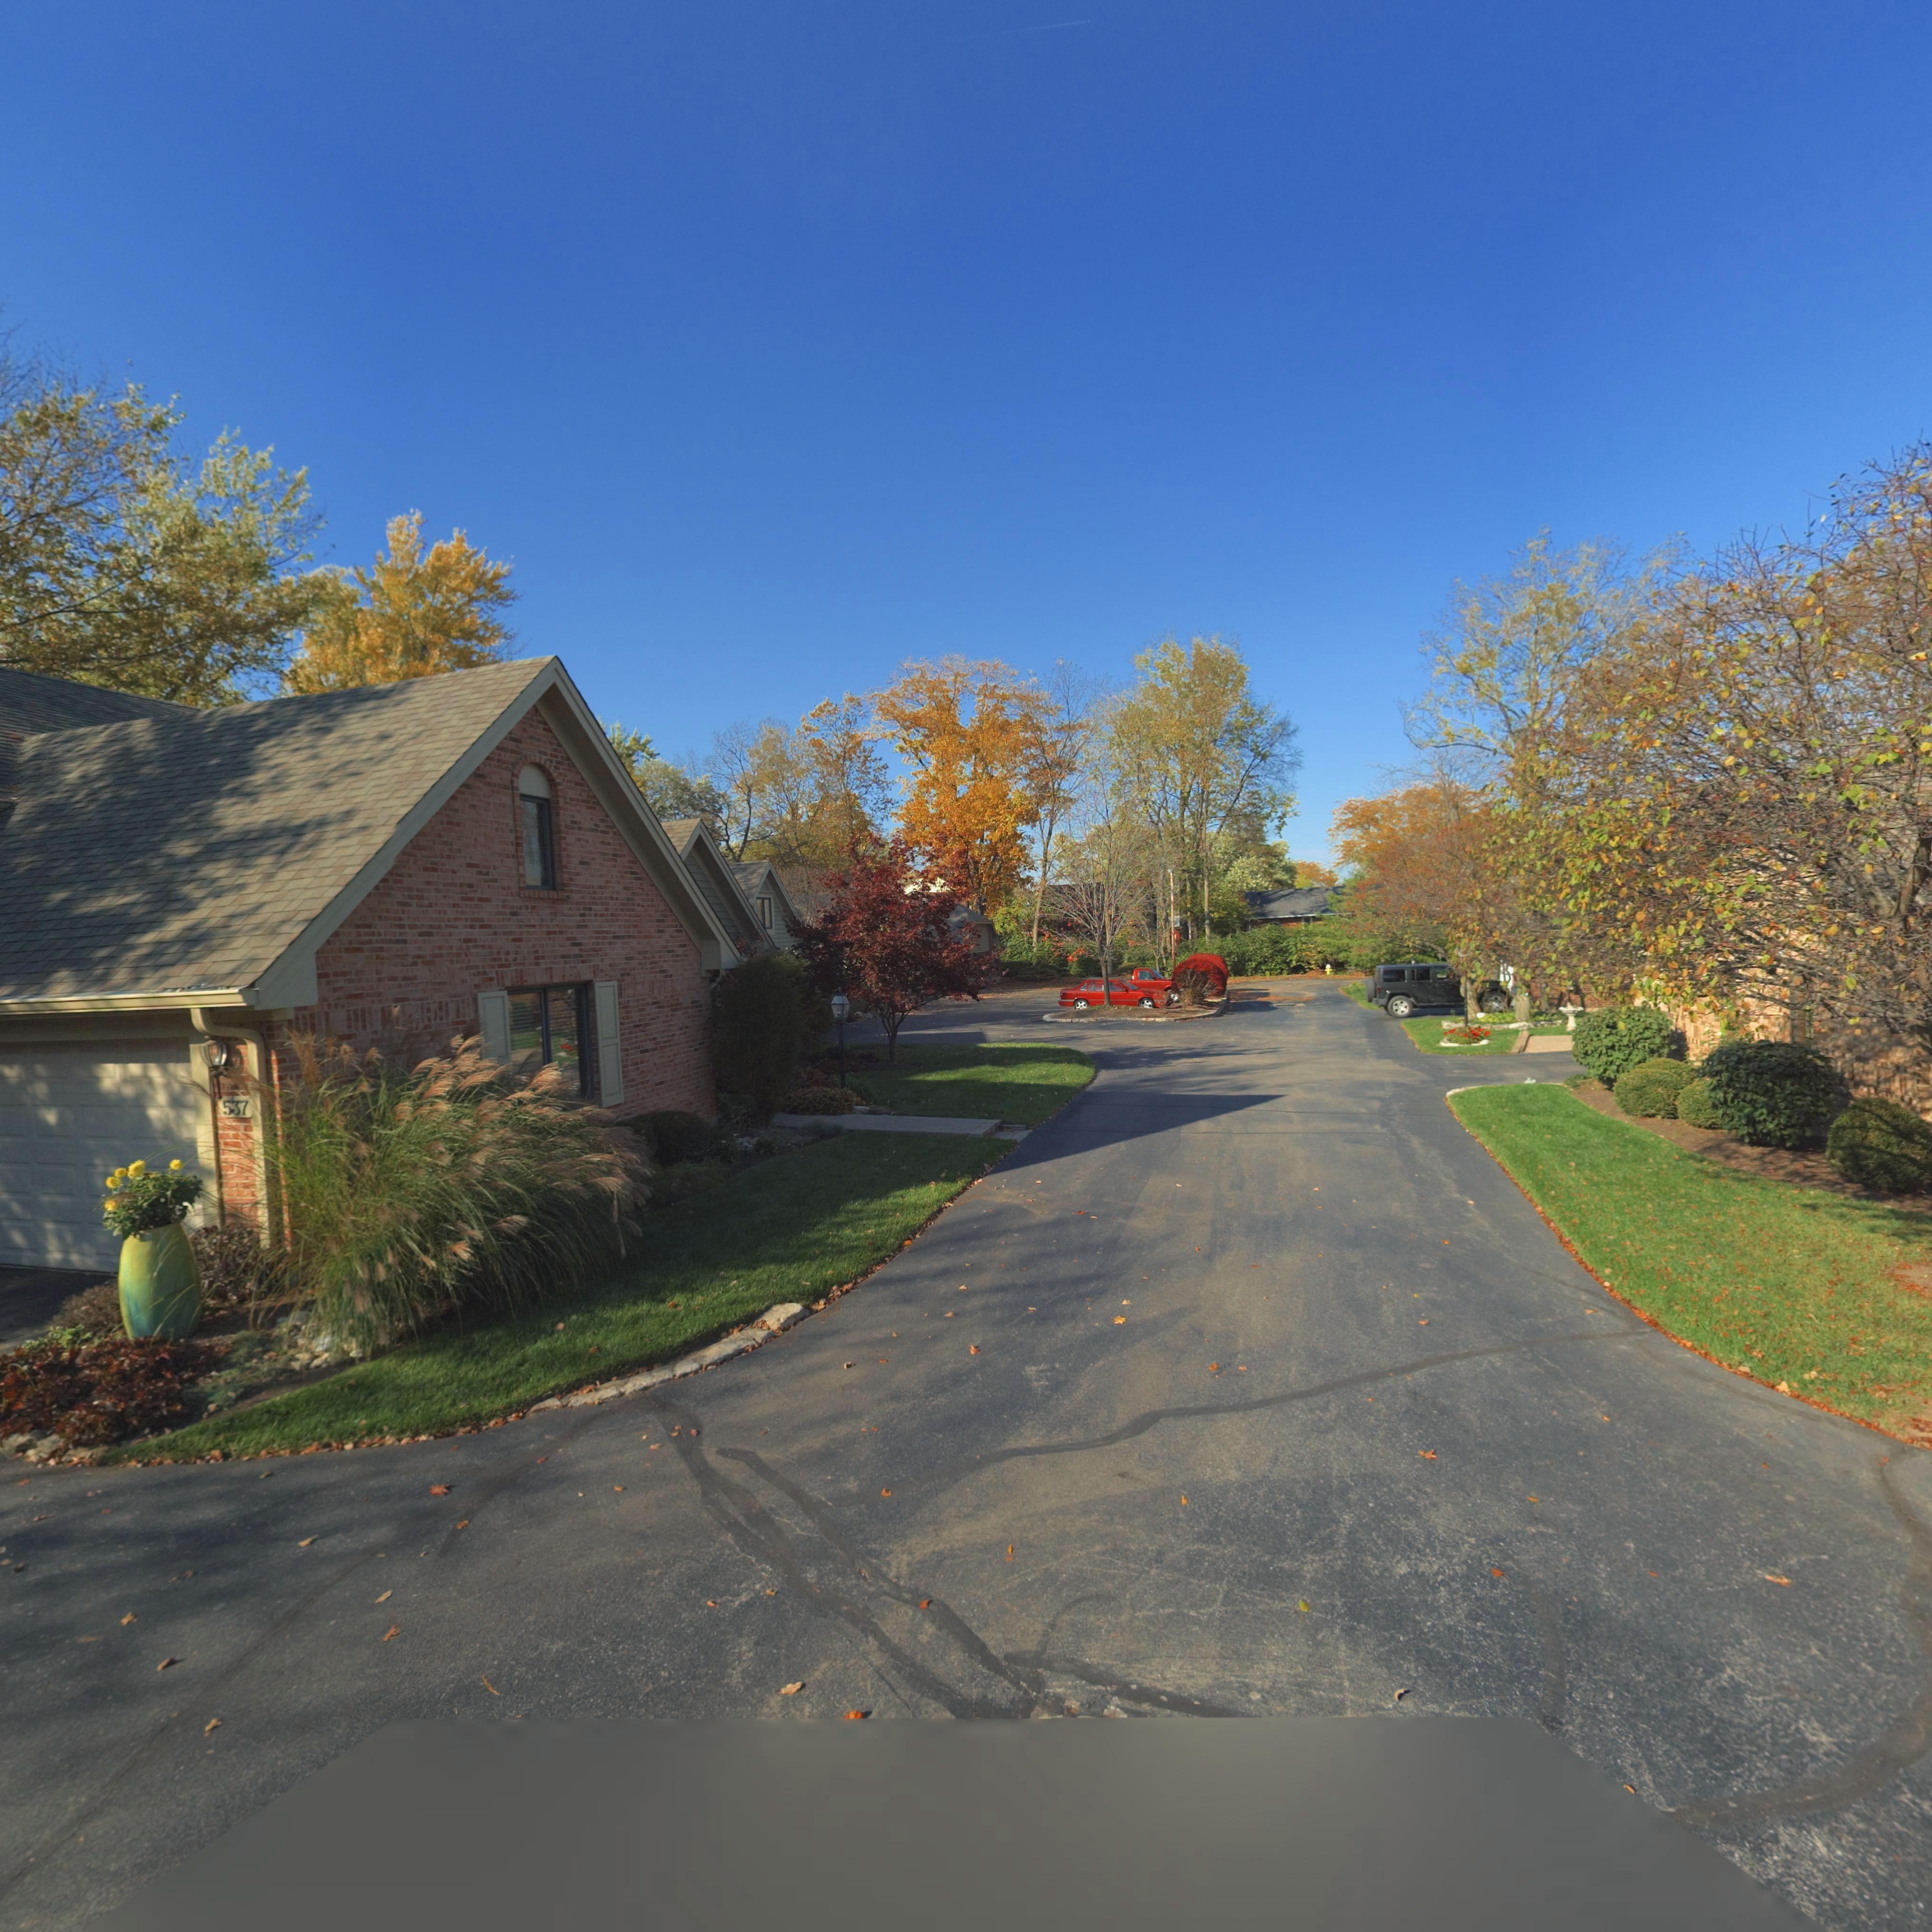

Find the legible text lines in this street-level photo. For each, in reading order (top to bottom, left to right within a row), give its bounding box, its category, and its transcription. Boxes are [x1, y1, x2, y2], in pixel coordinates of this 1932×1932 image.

[222, 1099, 249, 1116] StreetNumber: 537